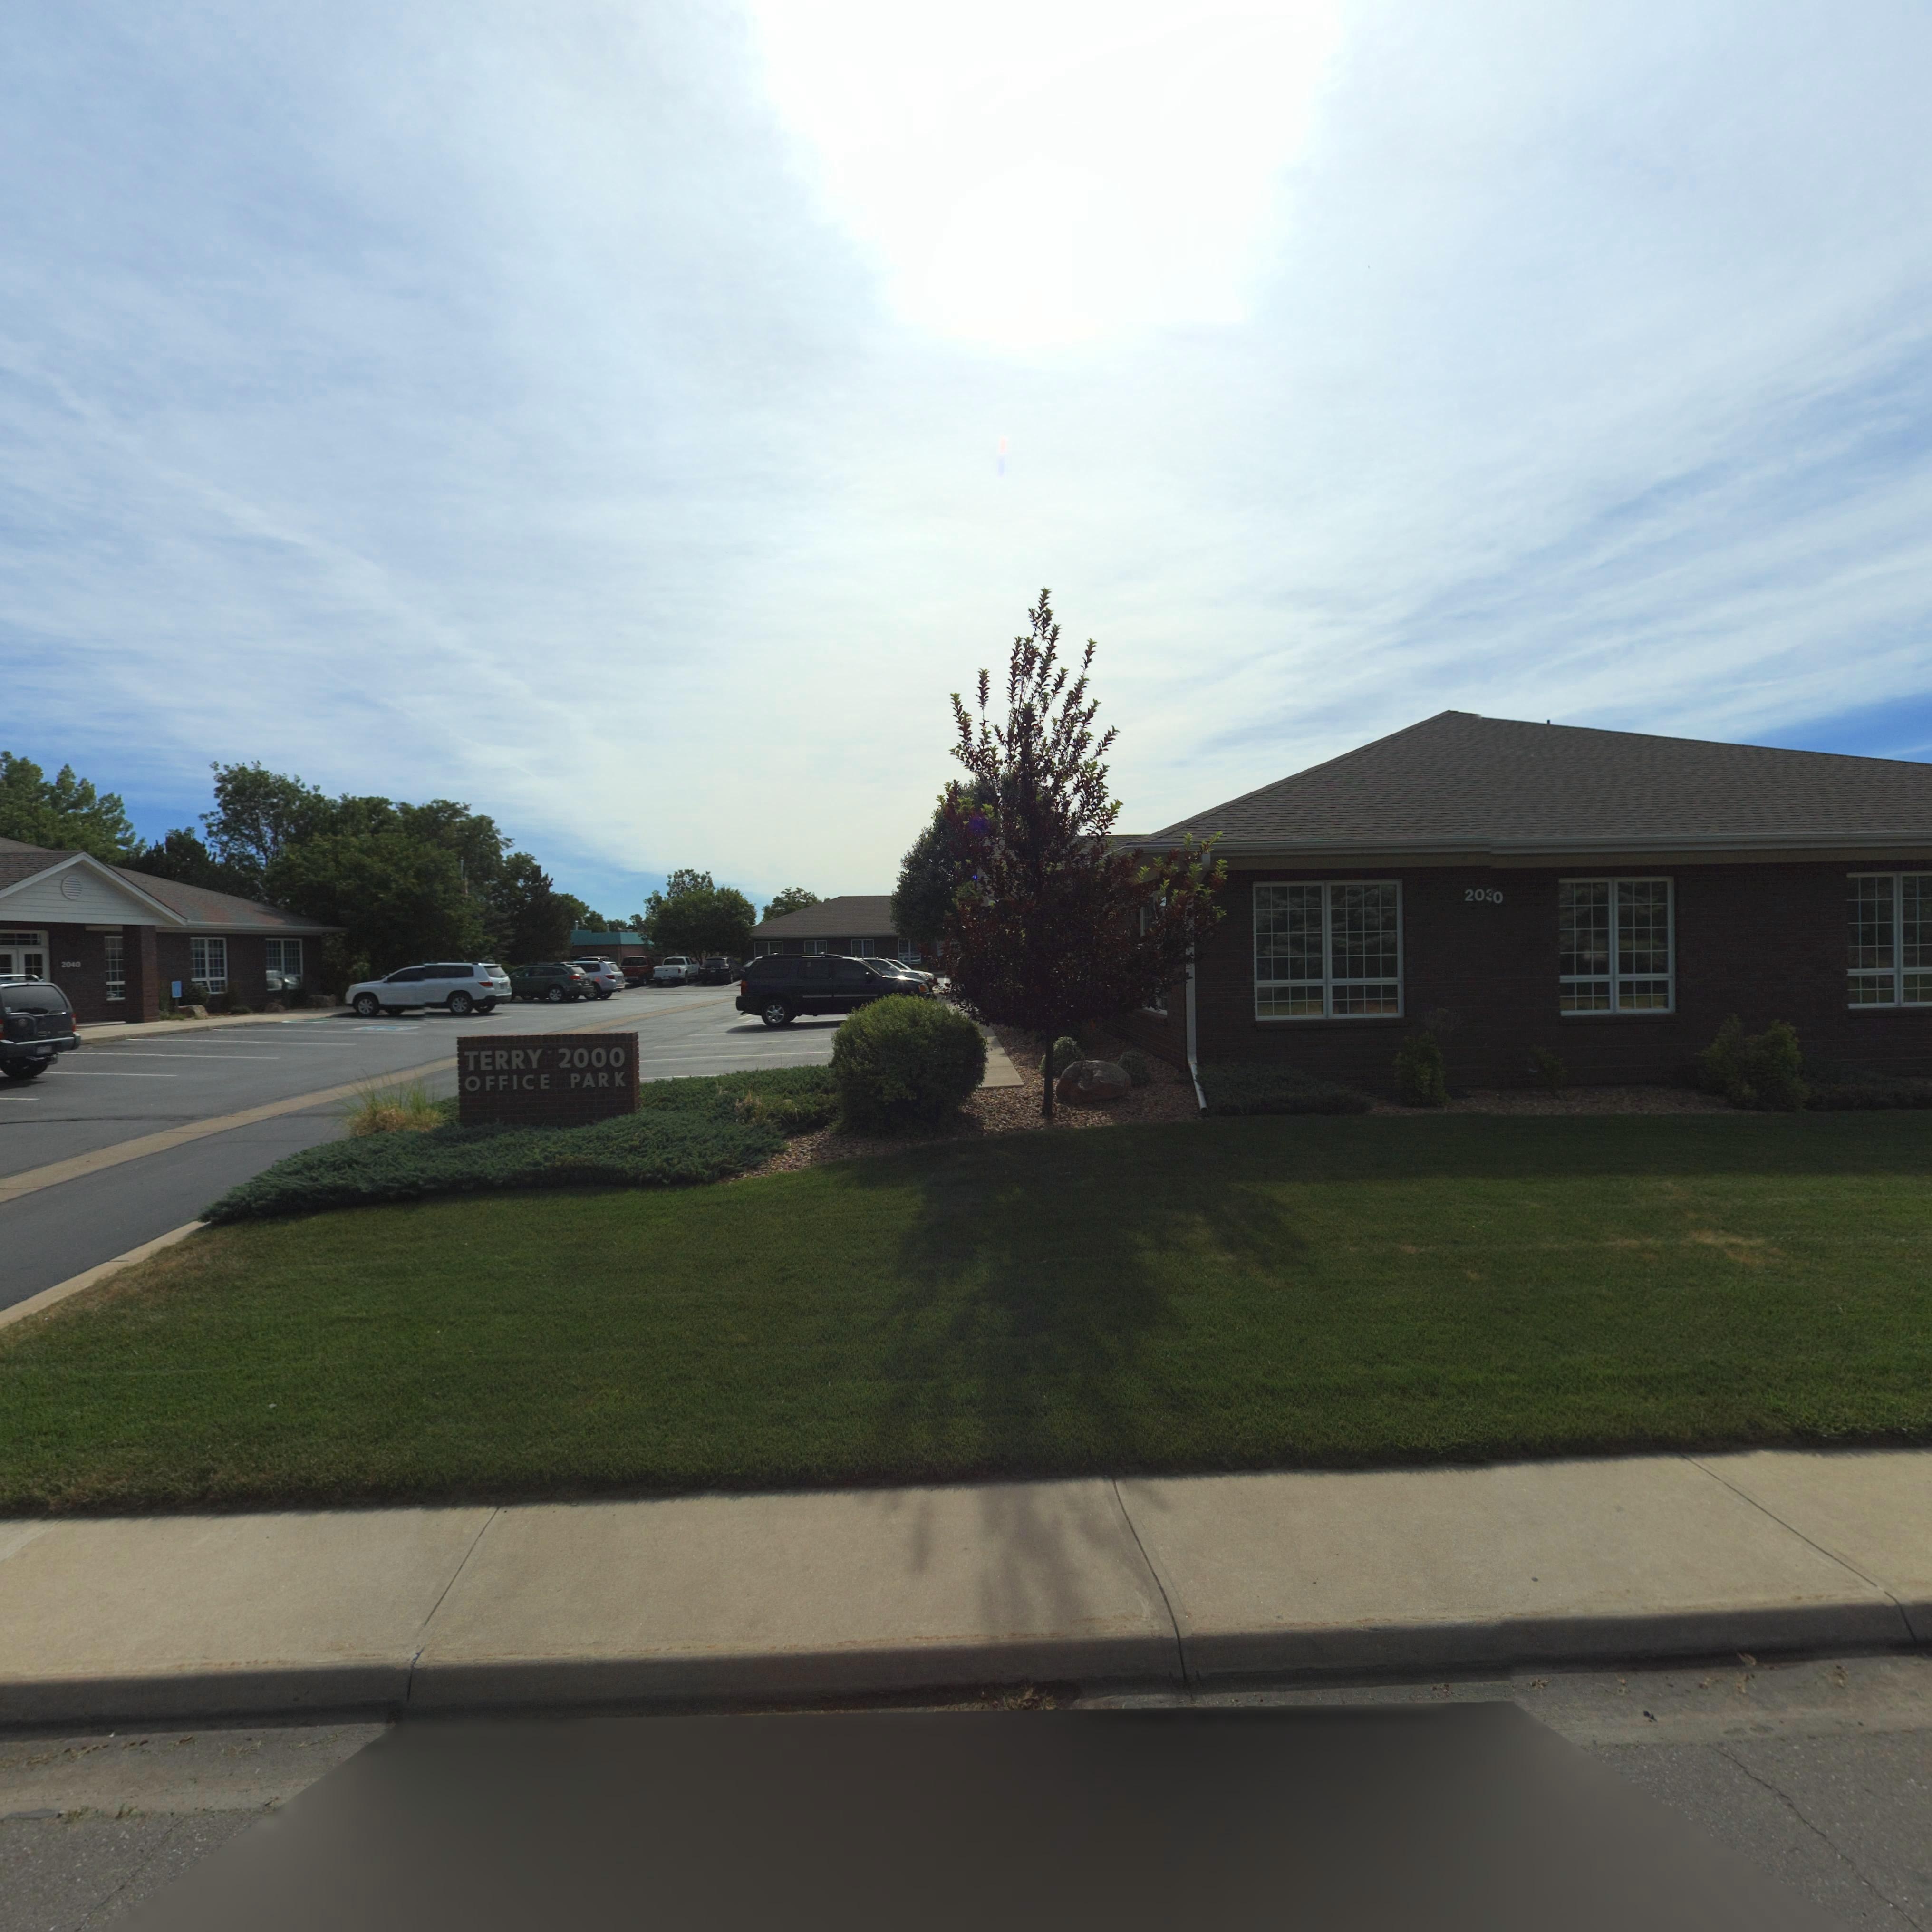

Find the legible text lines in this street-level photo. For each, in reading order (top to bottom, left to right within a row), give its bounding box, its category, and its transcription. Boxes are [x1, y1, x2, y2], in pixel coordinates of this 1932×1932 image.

[1464, 887, 1503, 904] StreetNumber: 20*0
[61, 961, 81, 967] StreetNumber: 2040
[464, 1047, 545, 1071] StreetName: TERRY
[557, 1046, 625, 1068] StreetNumber: 2000